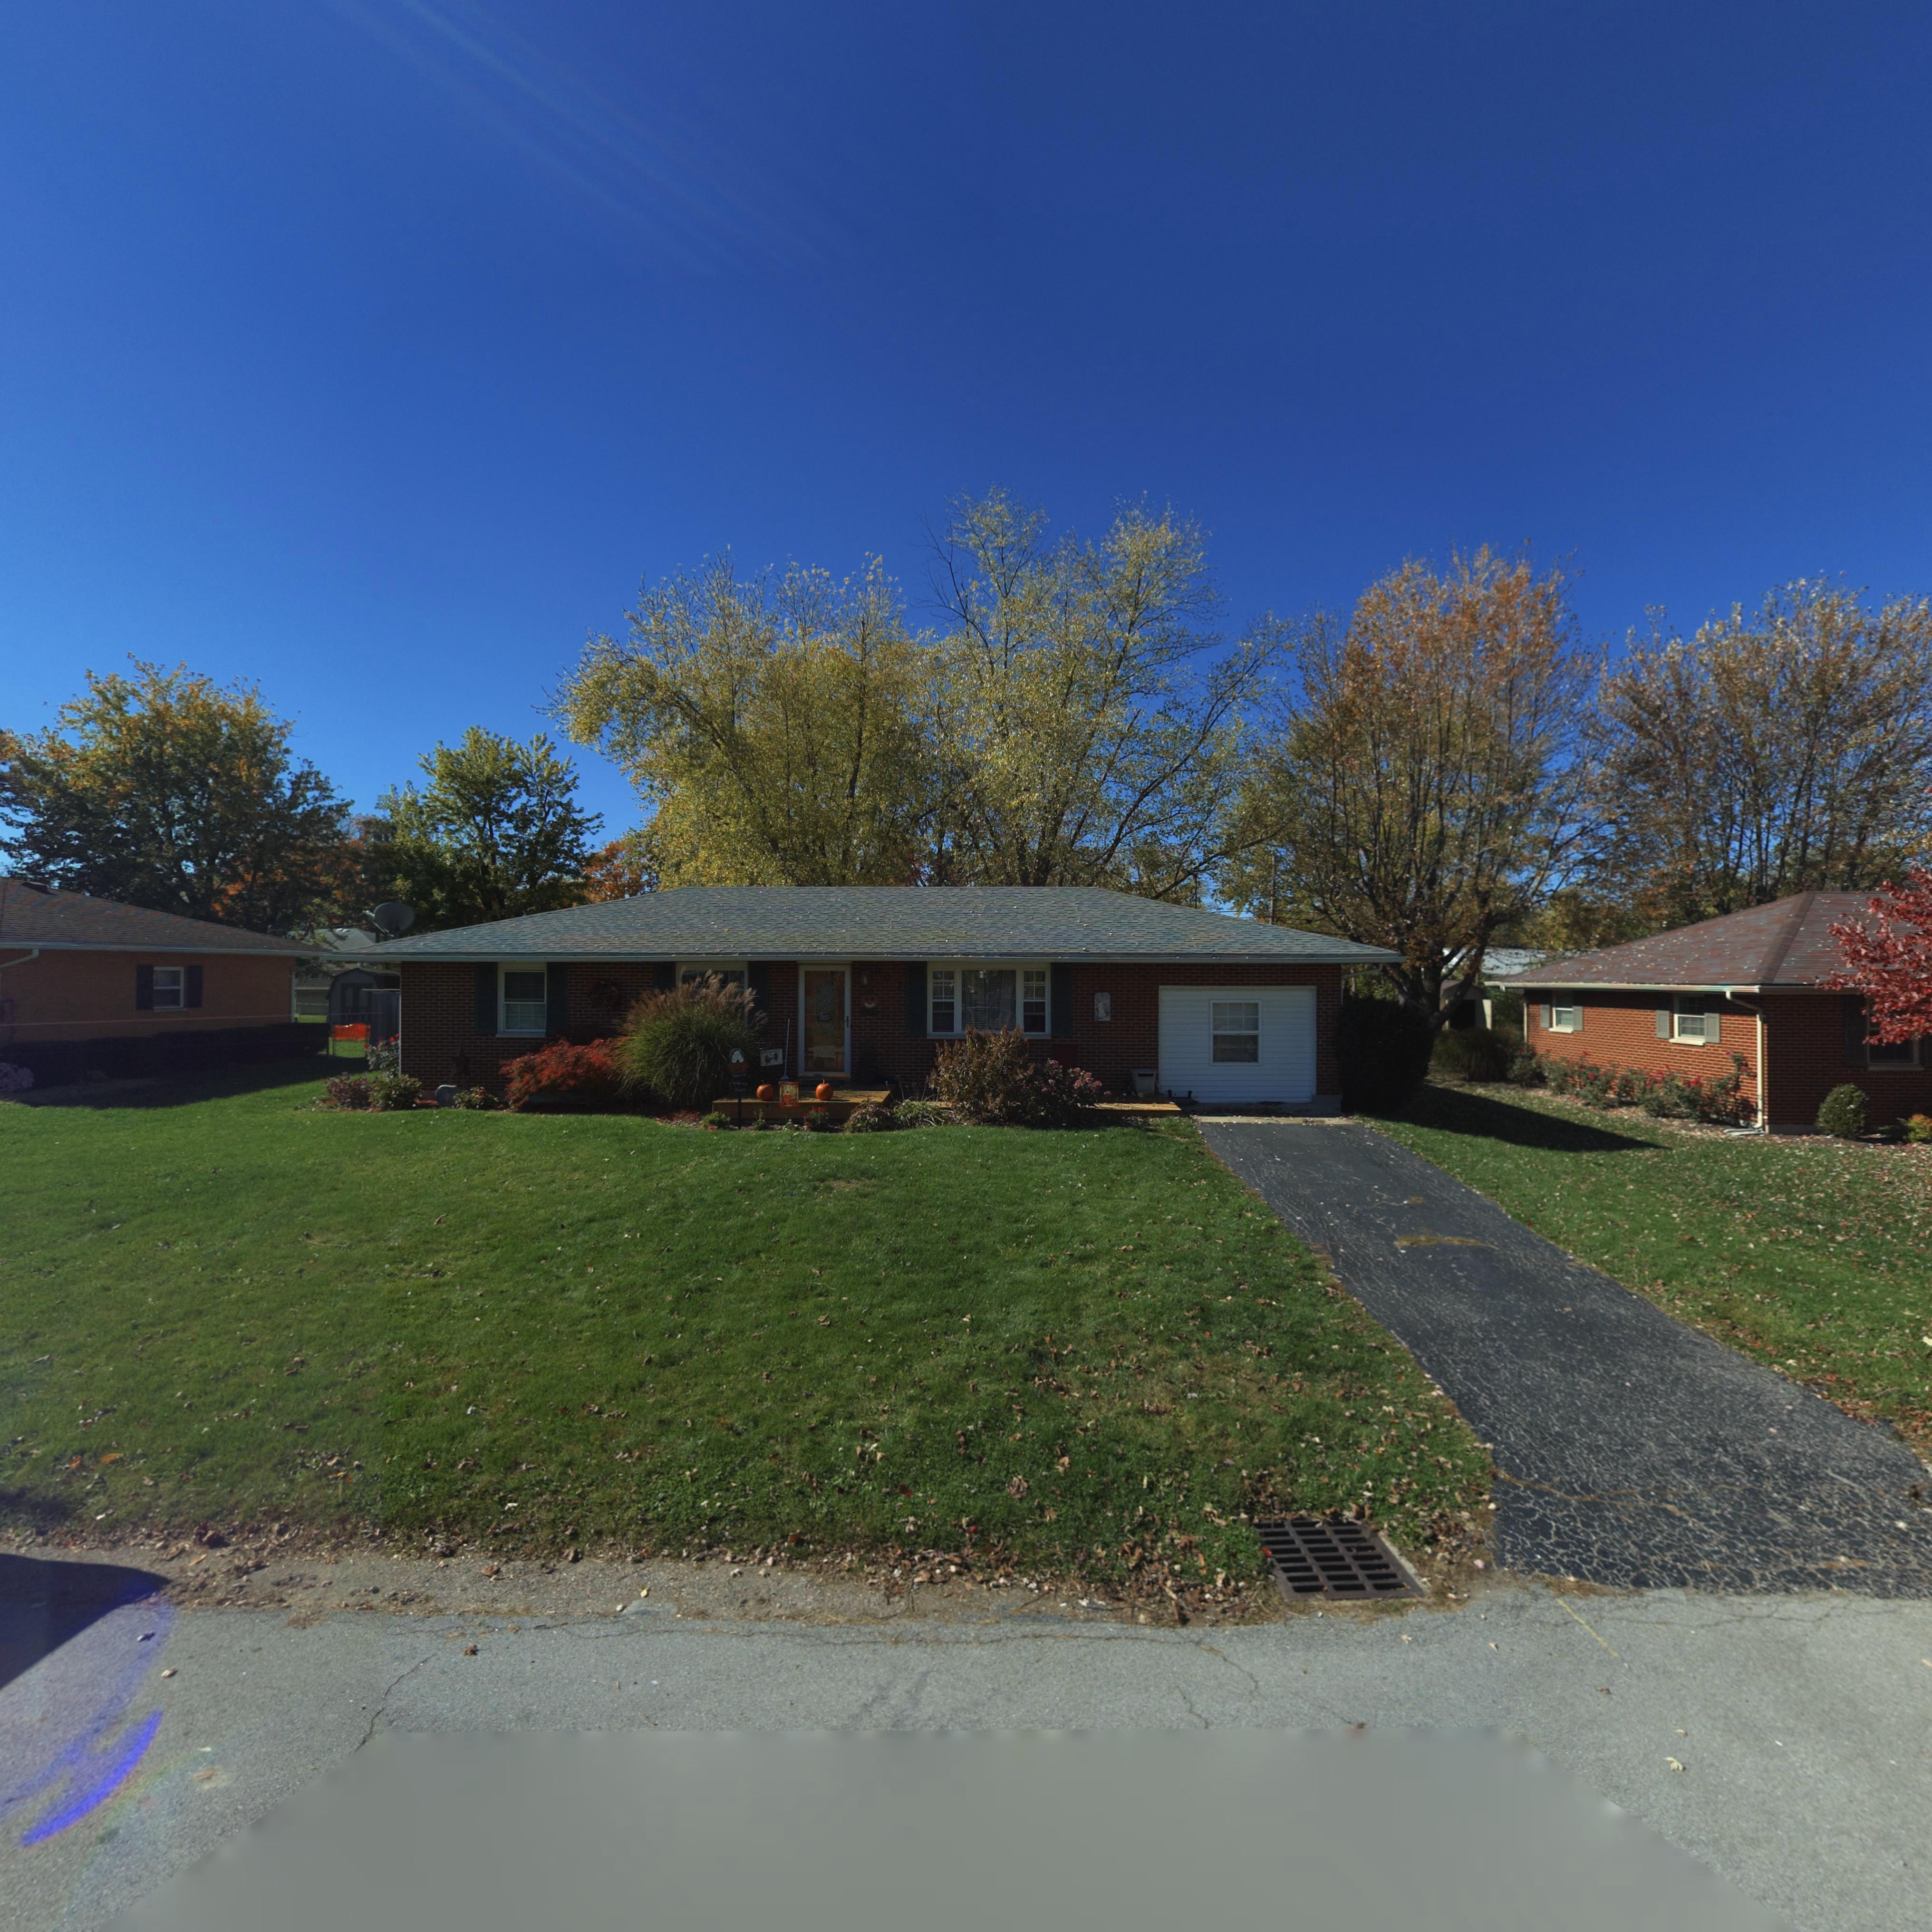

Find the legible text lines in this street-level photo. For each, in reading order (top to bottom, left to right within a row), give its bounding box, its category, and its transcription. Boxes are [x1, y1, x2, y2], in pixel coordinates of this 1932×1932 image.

[874, 968, 903, 992] StreetNumber: 807